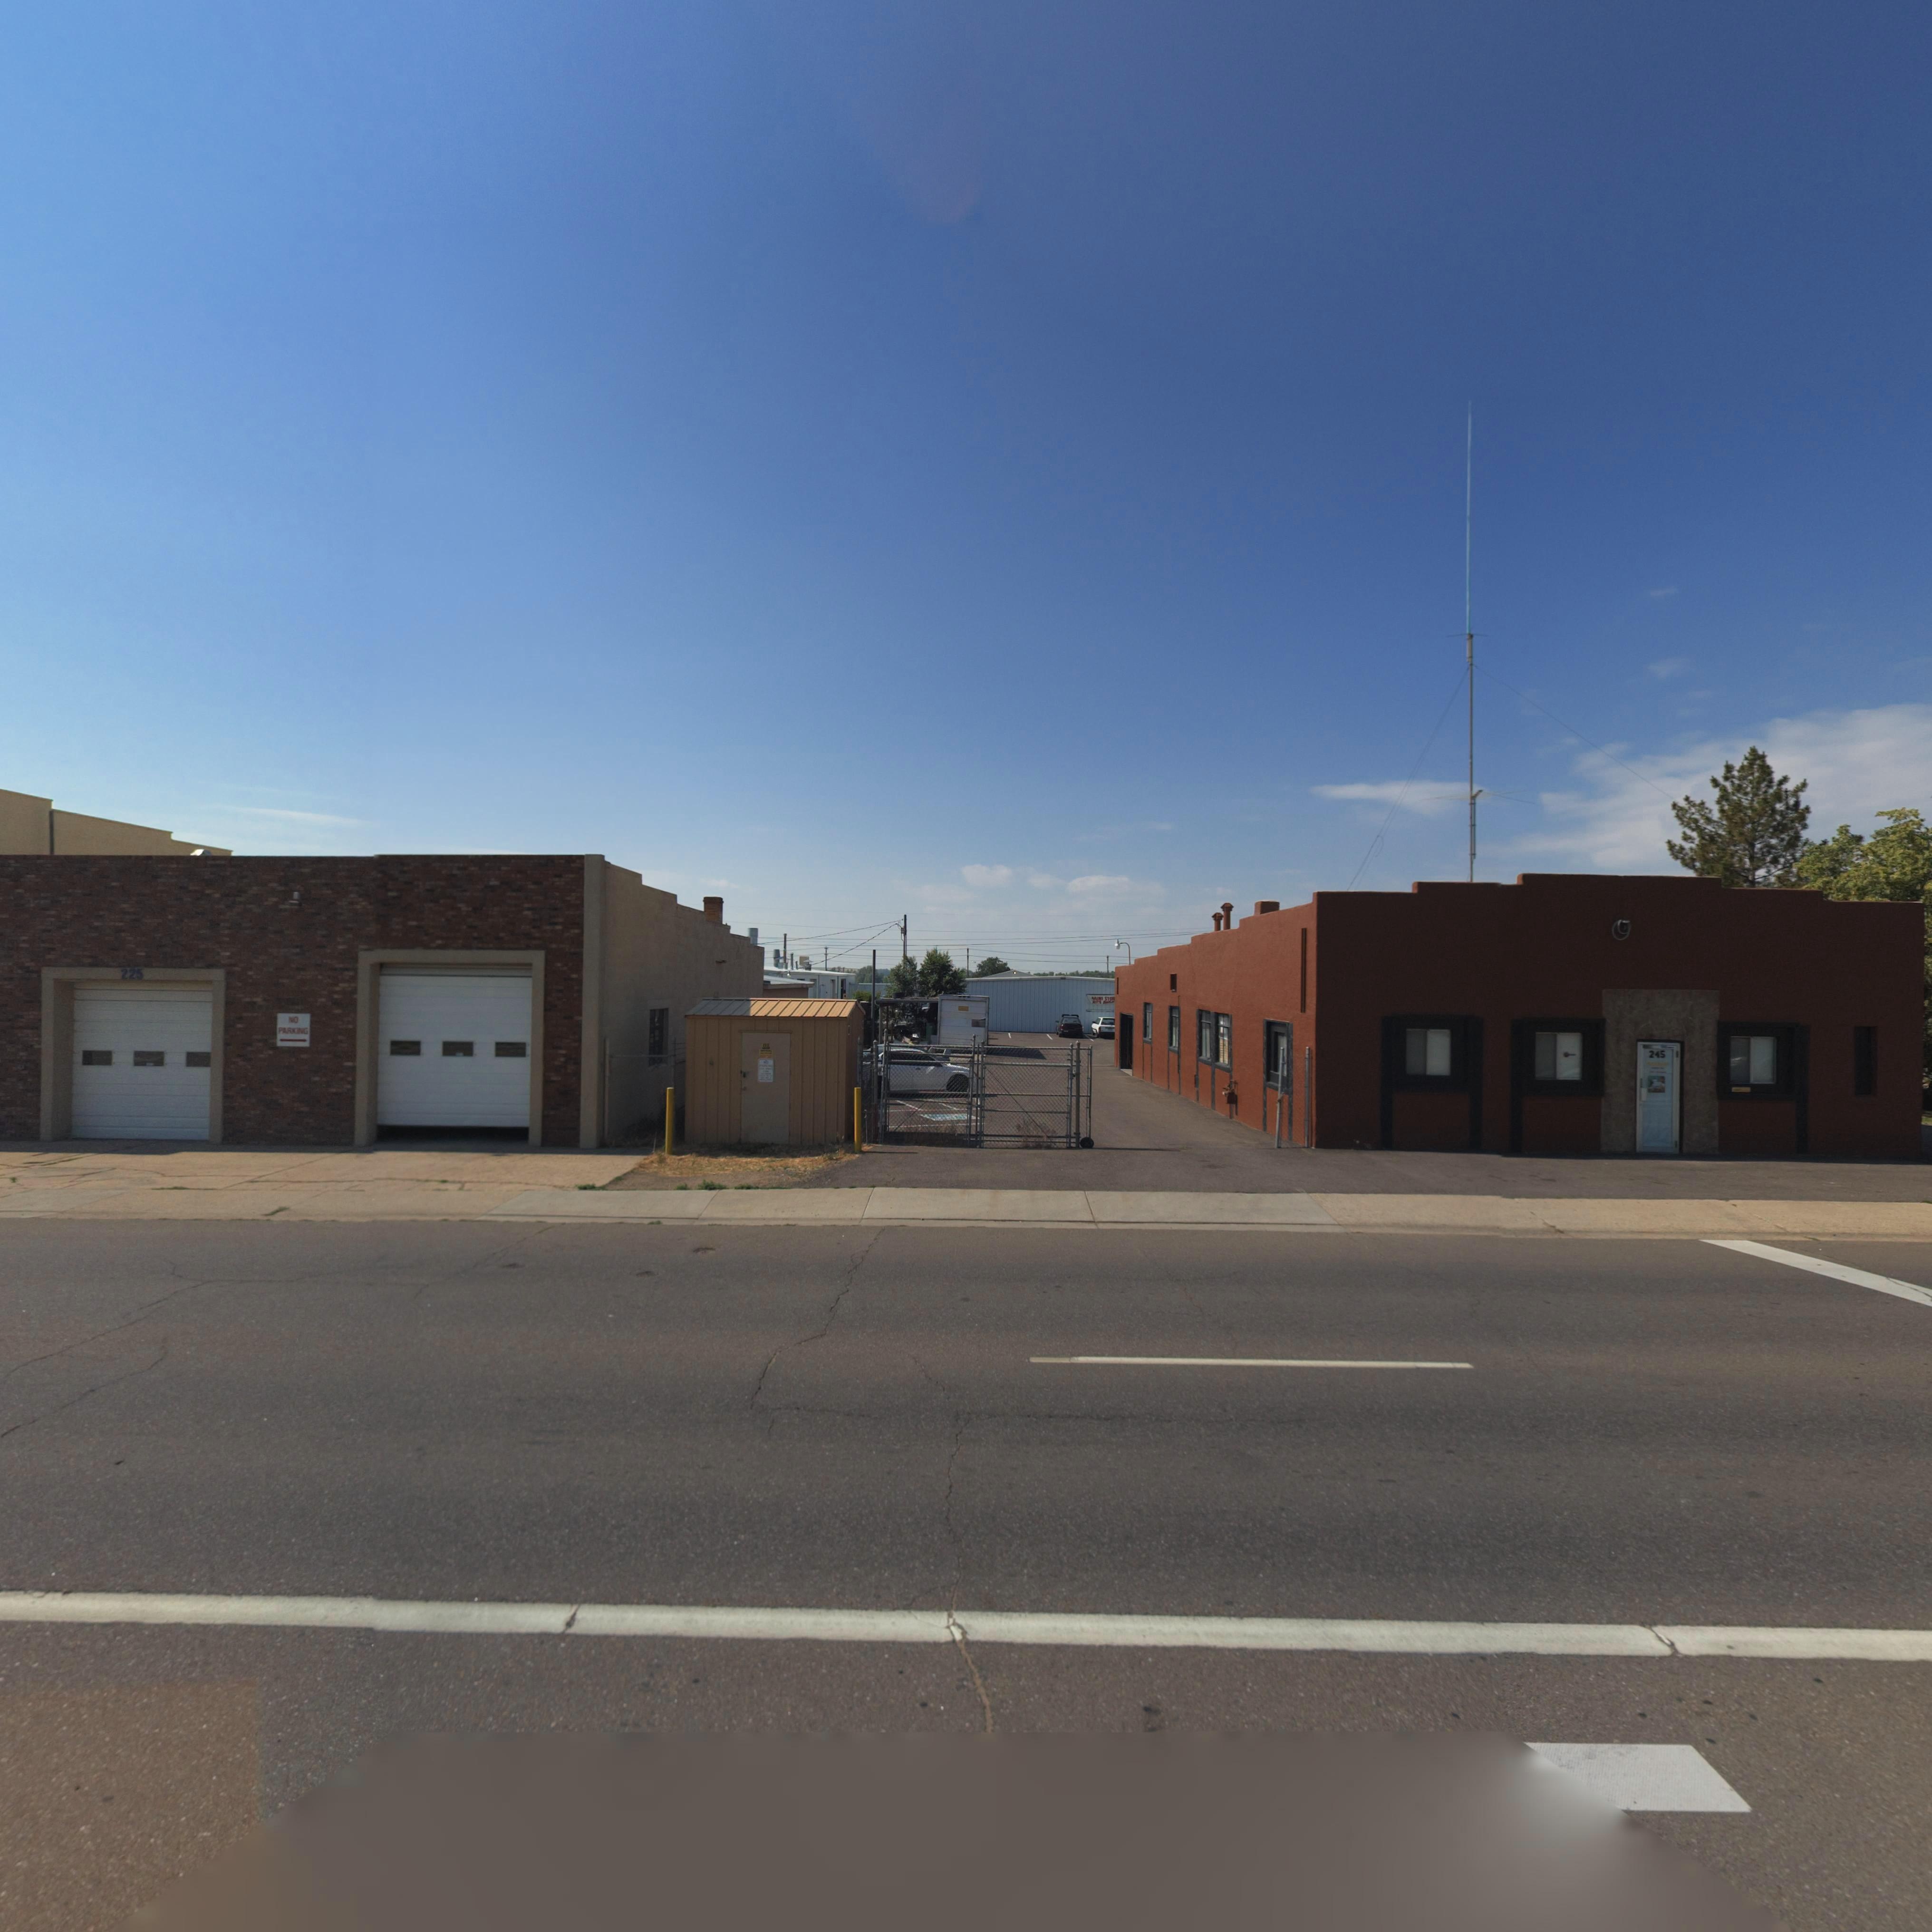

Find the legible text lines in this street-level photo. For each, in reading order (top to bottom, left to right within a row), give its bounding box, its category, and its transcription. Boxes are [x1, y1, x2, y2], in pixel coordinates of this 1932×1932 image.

[1648, 1049, 1666, 1058] StreetNumber: 245